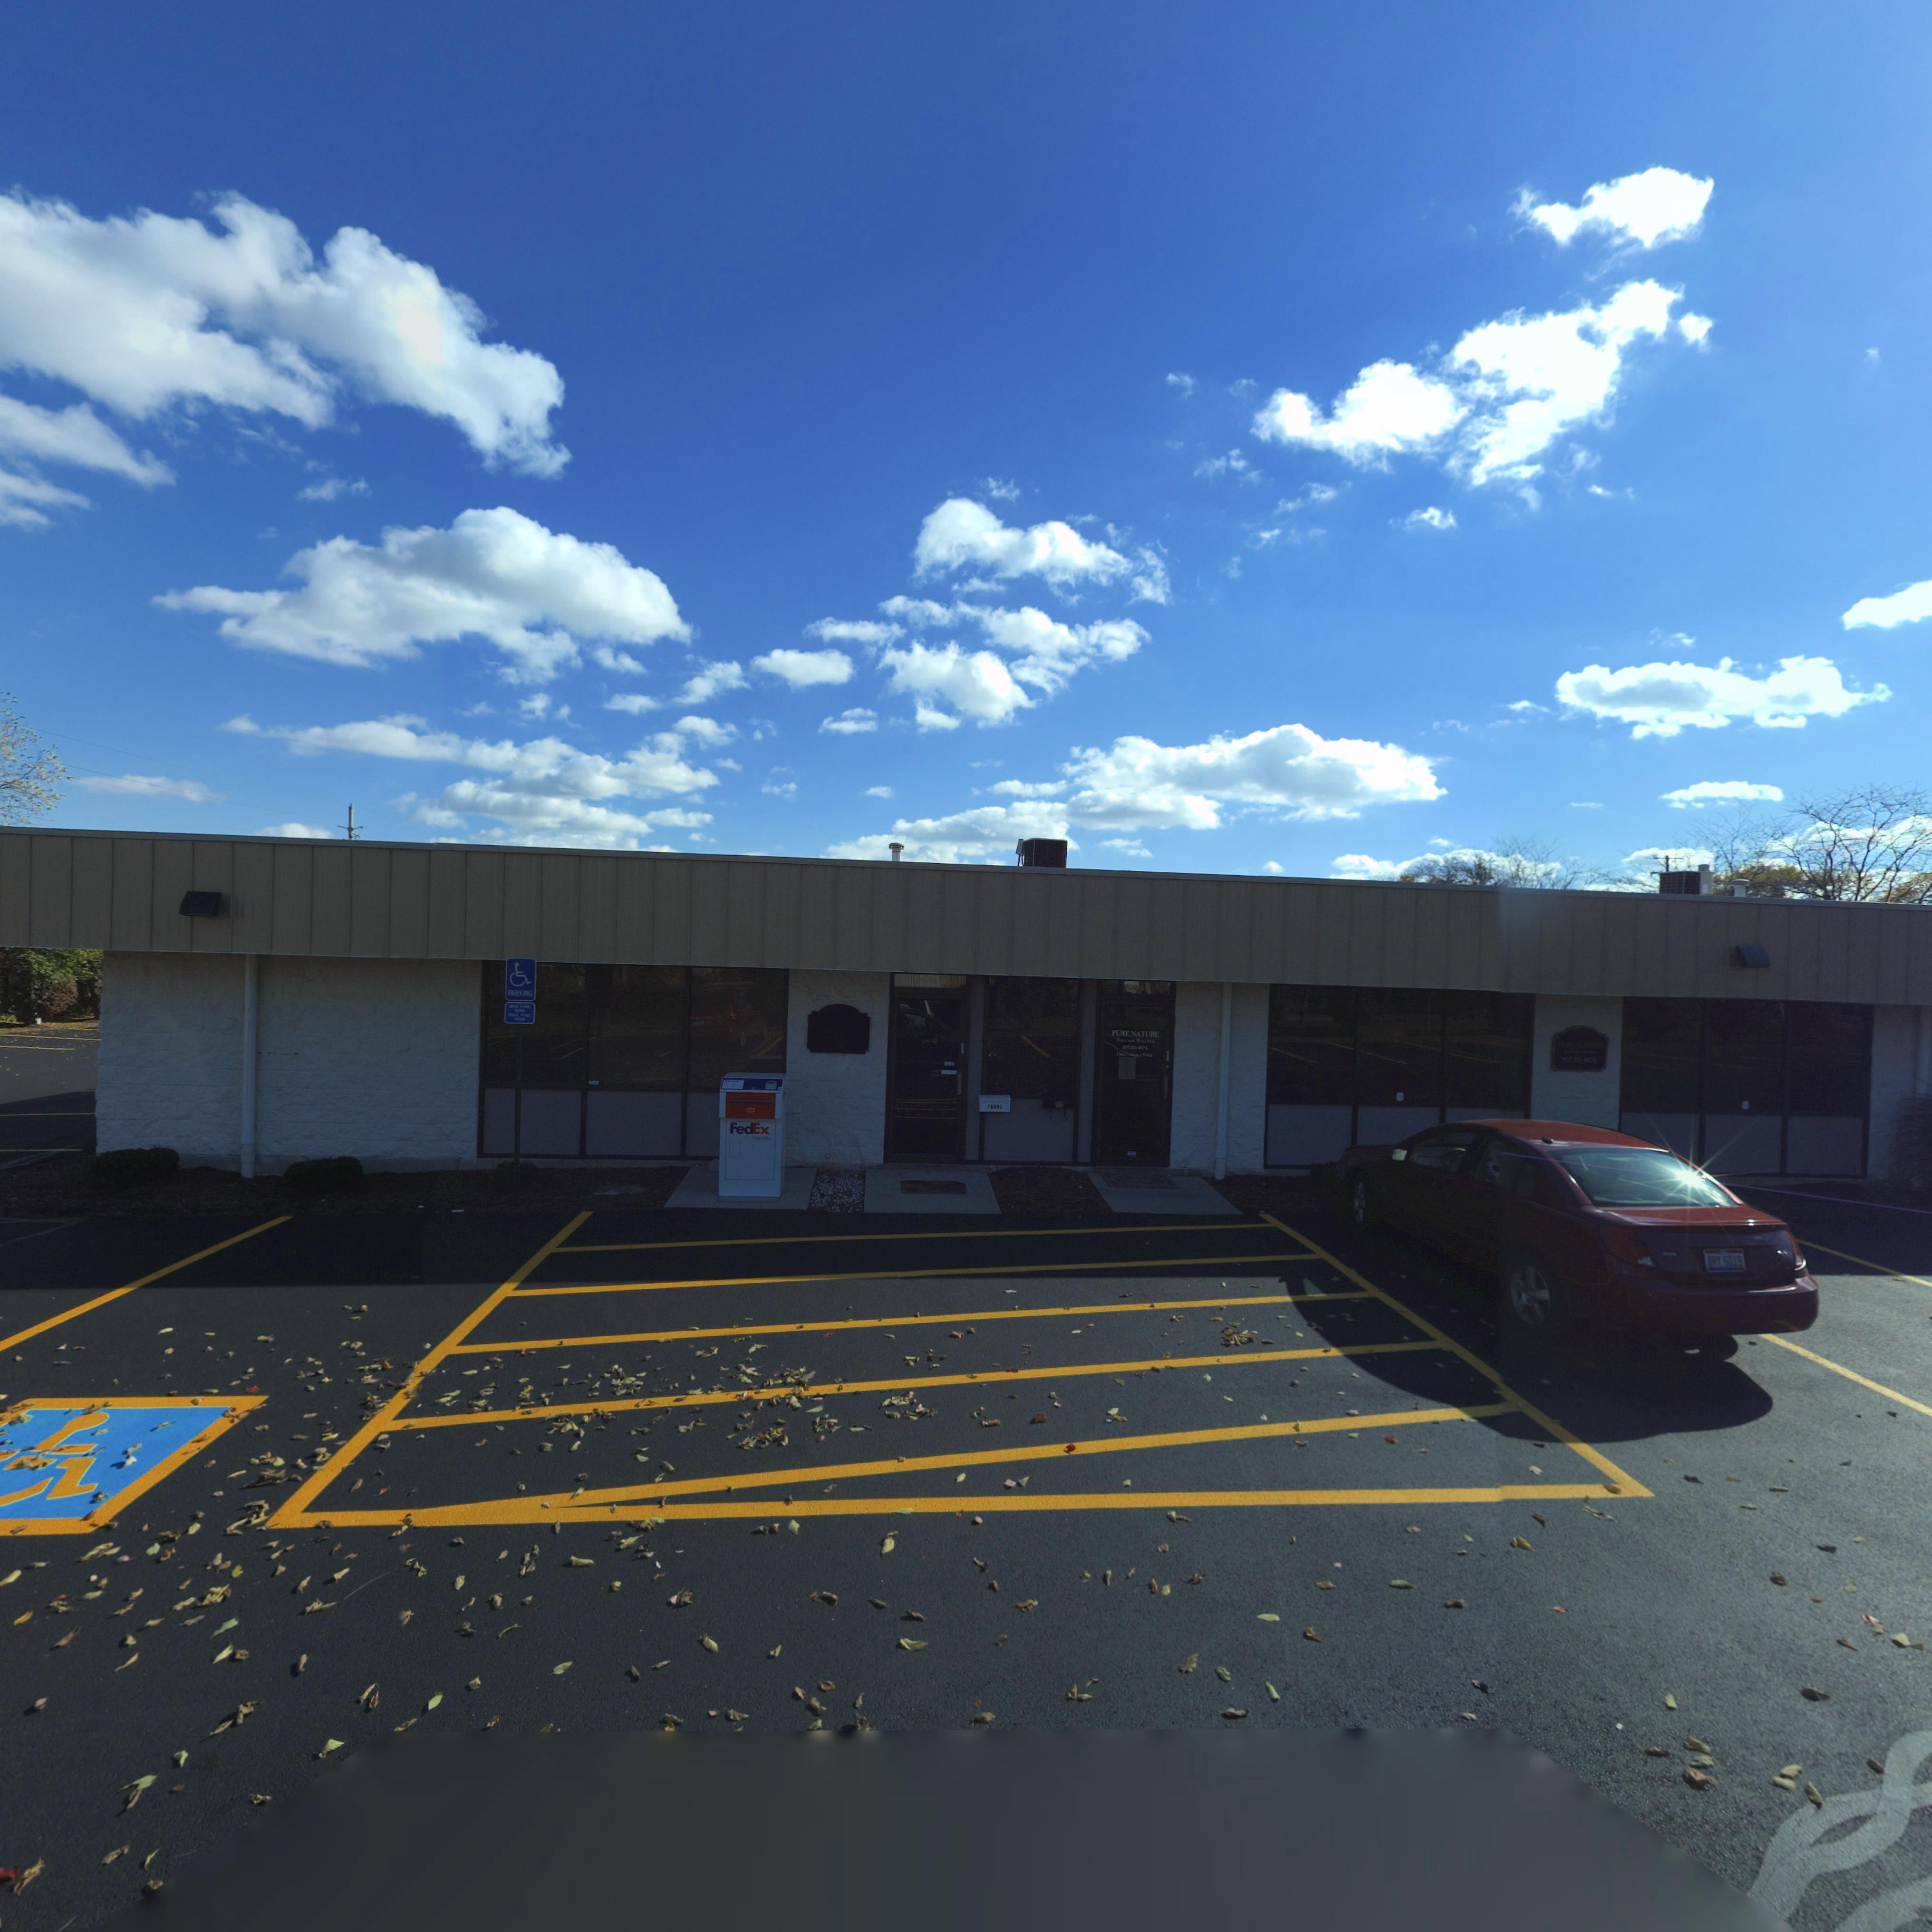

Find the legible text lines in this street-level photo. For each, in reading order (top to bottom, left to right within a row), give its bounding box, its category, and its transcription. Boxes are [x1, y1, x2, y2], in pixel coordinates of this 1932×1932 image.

[1121, 983, 1146, 994] StreetNumber: *00*